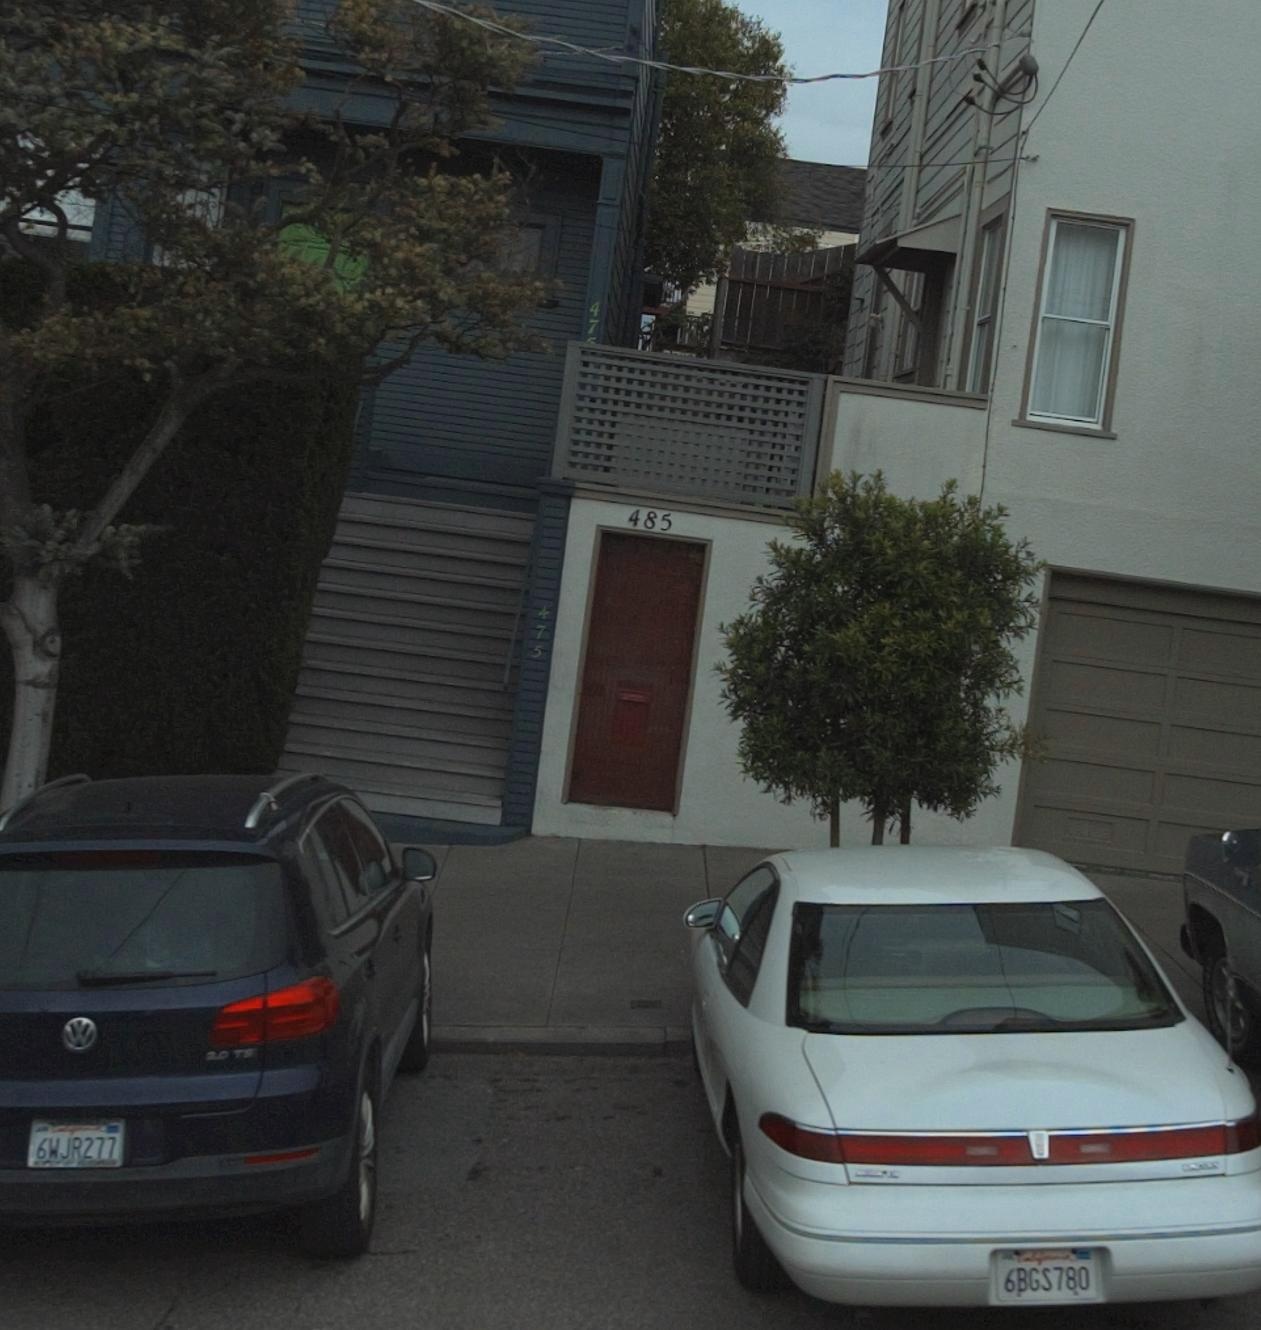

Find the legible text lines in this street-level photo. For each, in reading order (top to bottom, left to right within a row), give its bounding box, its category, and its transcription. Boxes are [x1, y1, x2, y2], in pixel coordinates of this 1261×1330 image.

[627, 508, 672, 532] StreetNumber: 485
[531, 603, 552, 659] StreetNumber: 475
[204, 1050, 258, 1062] None: 2.0 TS
[35, 1135, 119, 1160] None: 6WJR277
[1002, 1266, 1091, 1294] None: 6BGS780